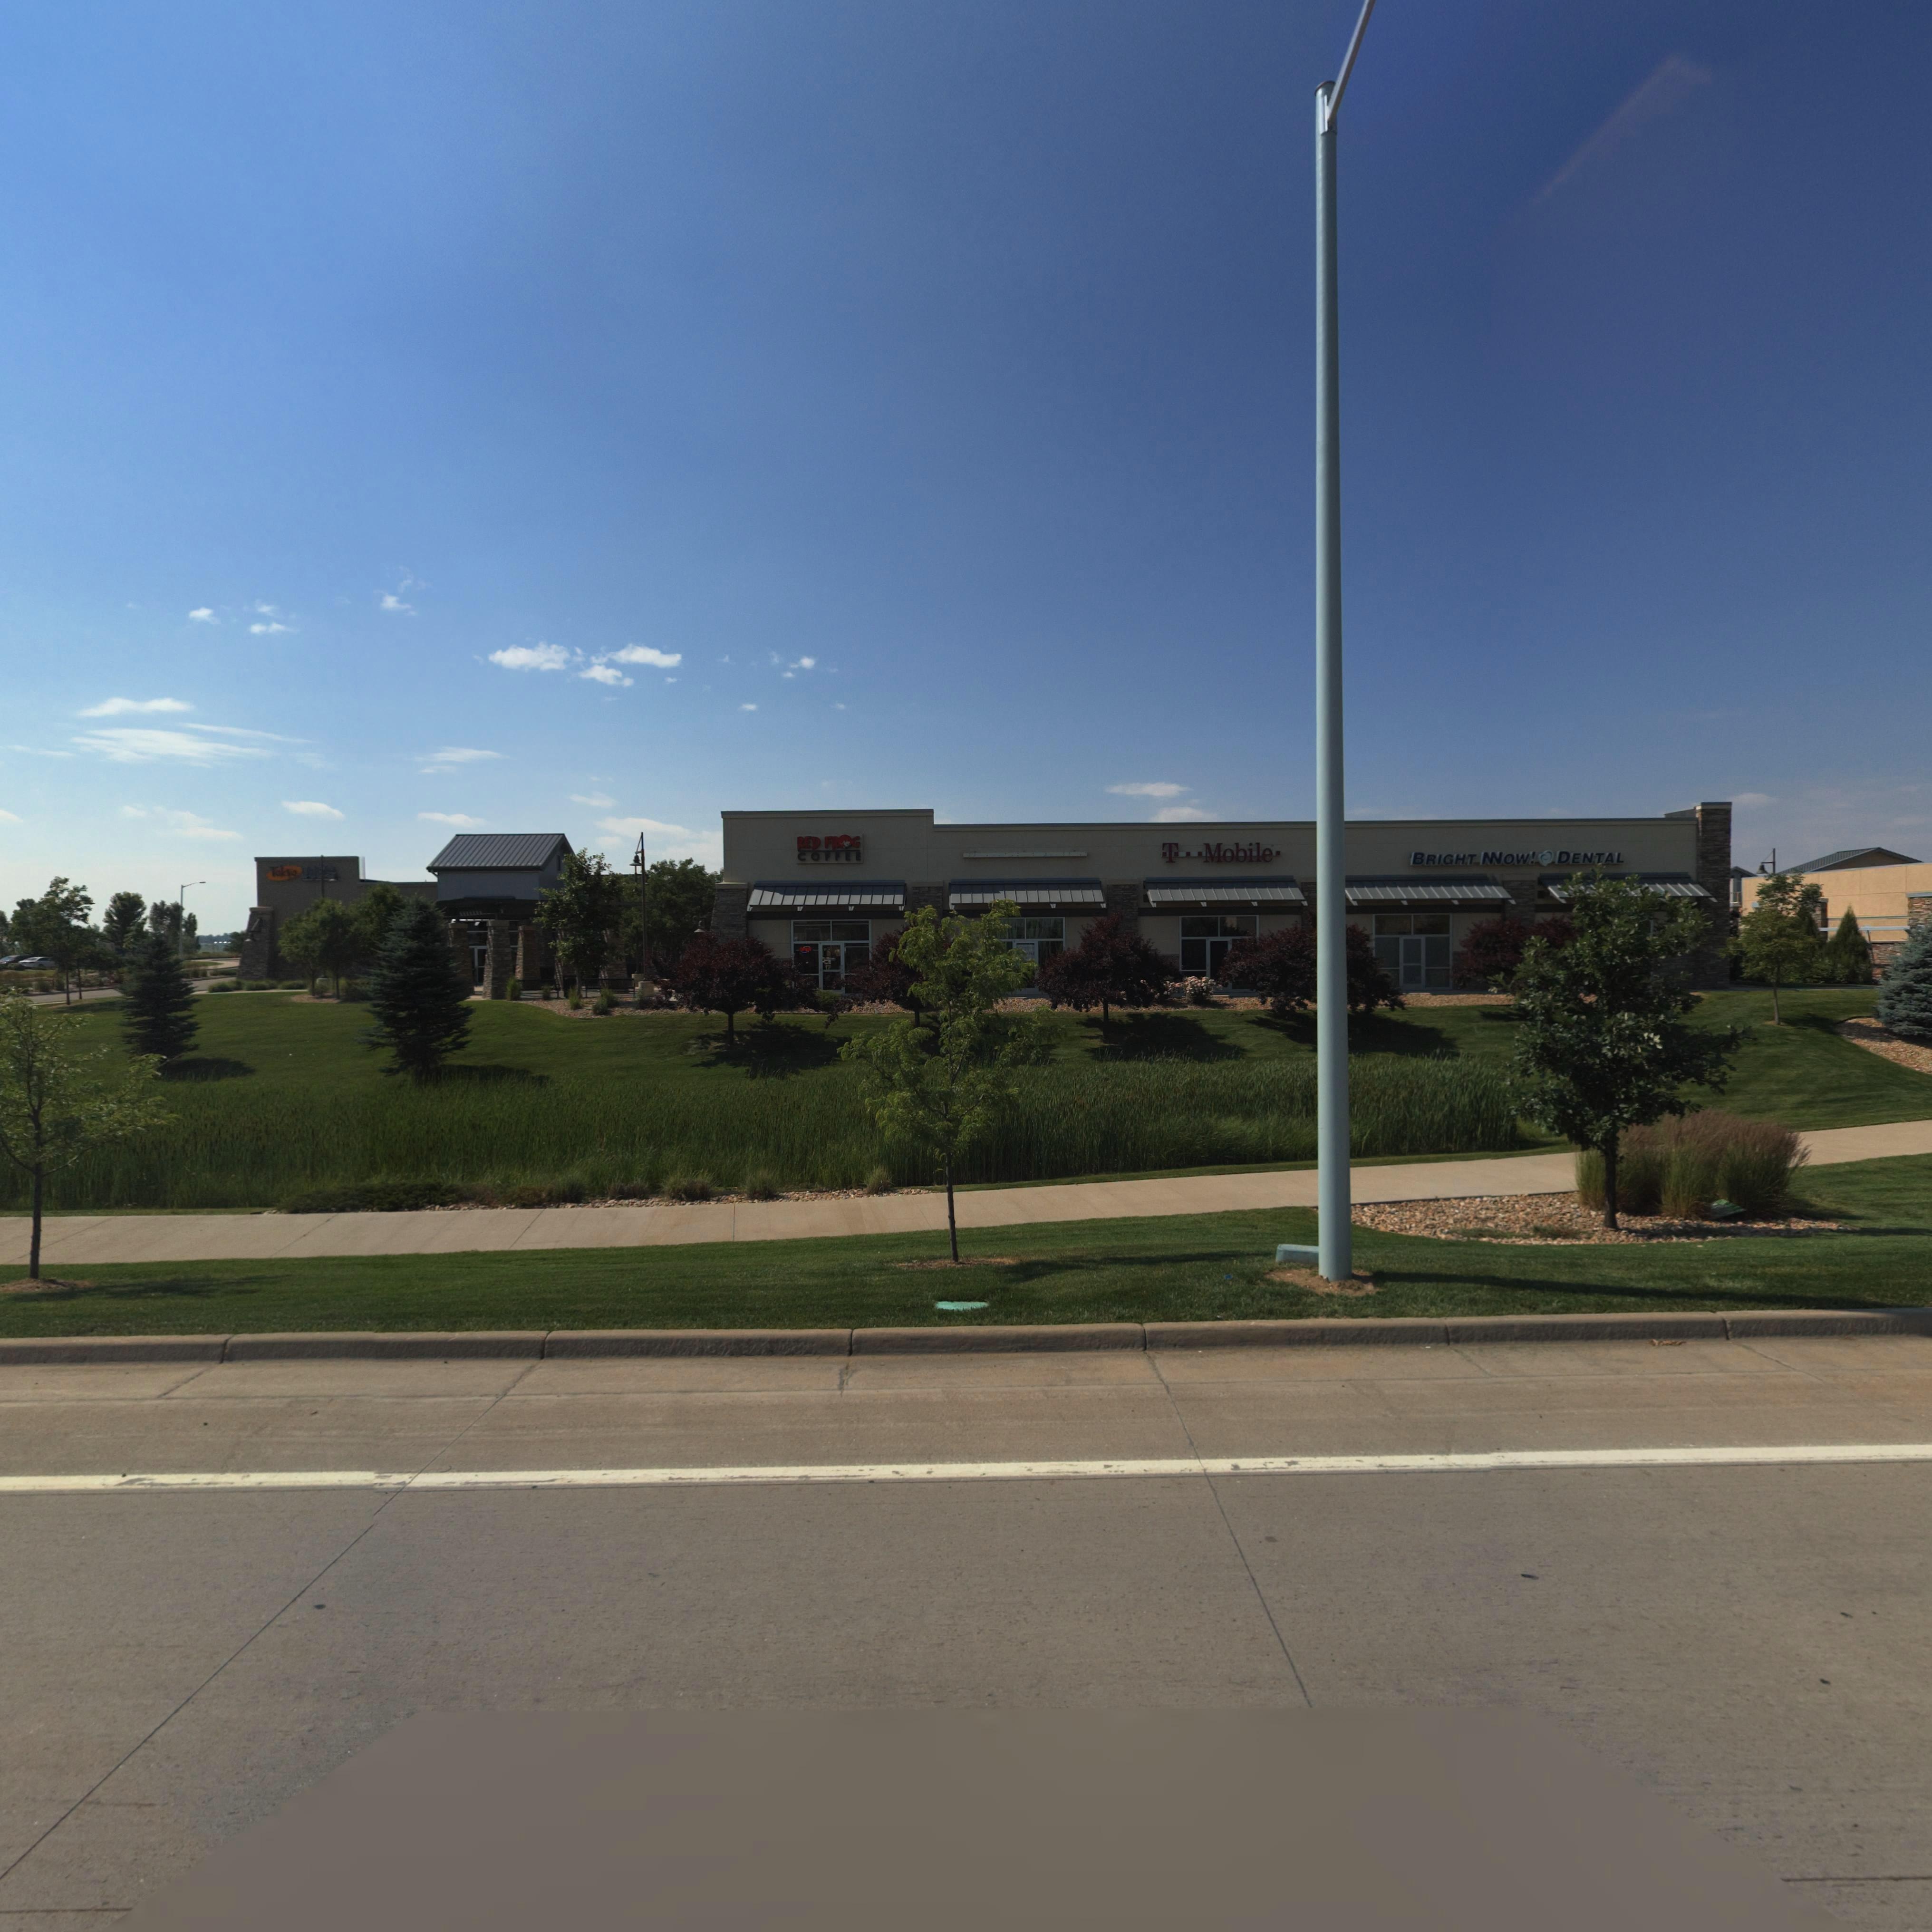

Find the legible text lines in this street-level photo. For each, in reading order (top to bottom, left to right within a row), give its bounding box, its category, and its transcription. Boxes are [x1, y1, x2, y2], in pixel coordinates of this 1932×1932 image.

[797, 834, 861, 850] BusinessName: RED FROG
[797, 850, 861, 861] BusinessName: COFFEE
[1161, 841, 1274, 863] BusinessName: T Mobile
[1411, 849, 1625, 867] BusinessName: BRIGHT *NOW* * DENTAL
[269, 864, 298, 879] BusinessName: Tok*o
[300, 864, 337, 879] BusinessName: JOE'S